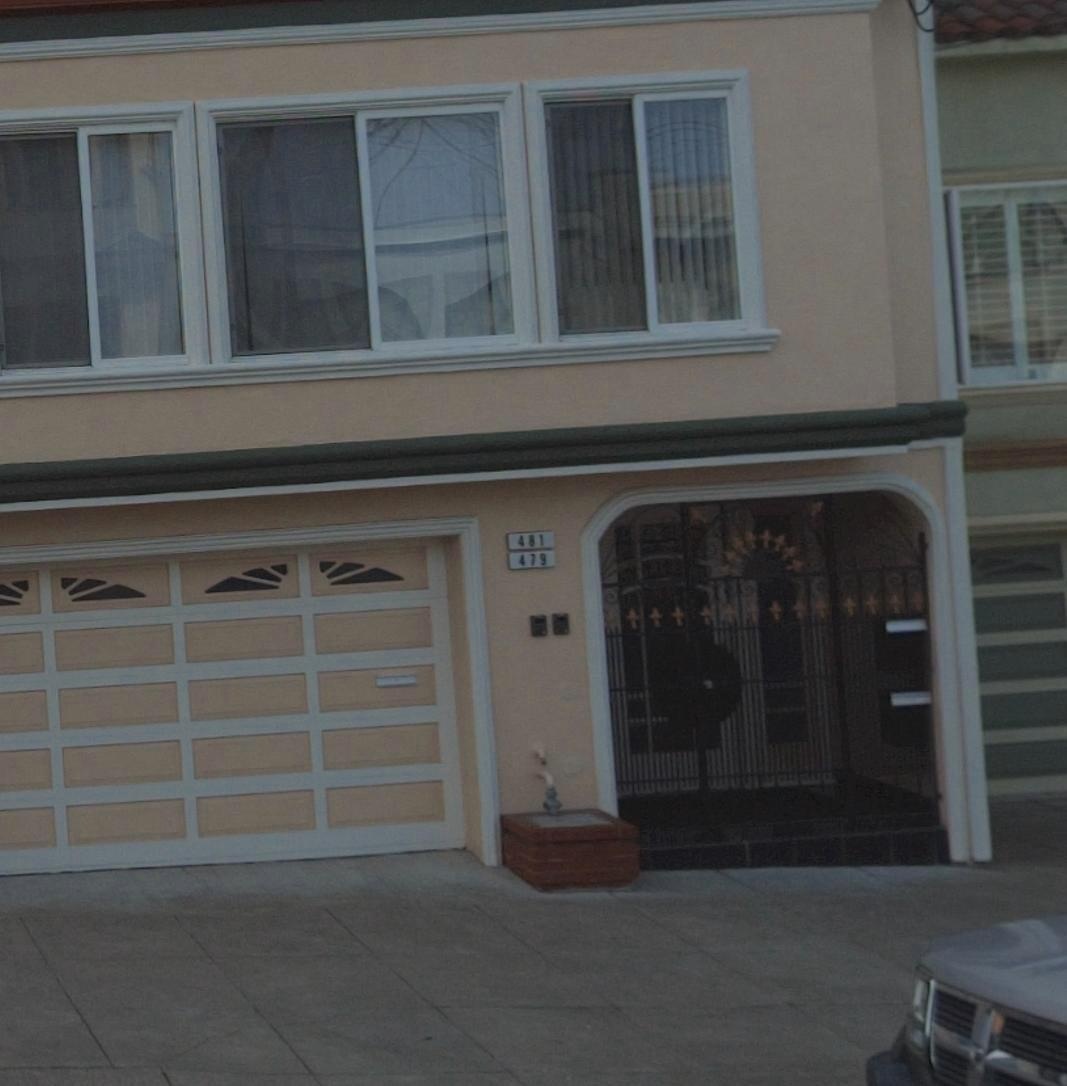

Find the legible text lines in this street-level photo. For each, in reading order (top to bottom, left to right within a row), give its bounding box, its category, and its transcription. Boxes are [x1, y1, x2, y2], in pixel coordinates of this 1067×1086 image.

[517, 534, 546, 549] StreetNumber: 481
[517, 551, 549, 568] StreetNumber: 479